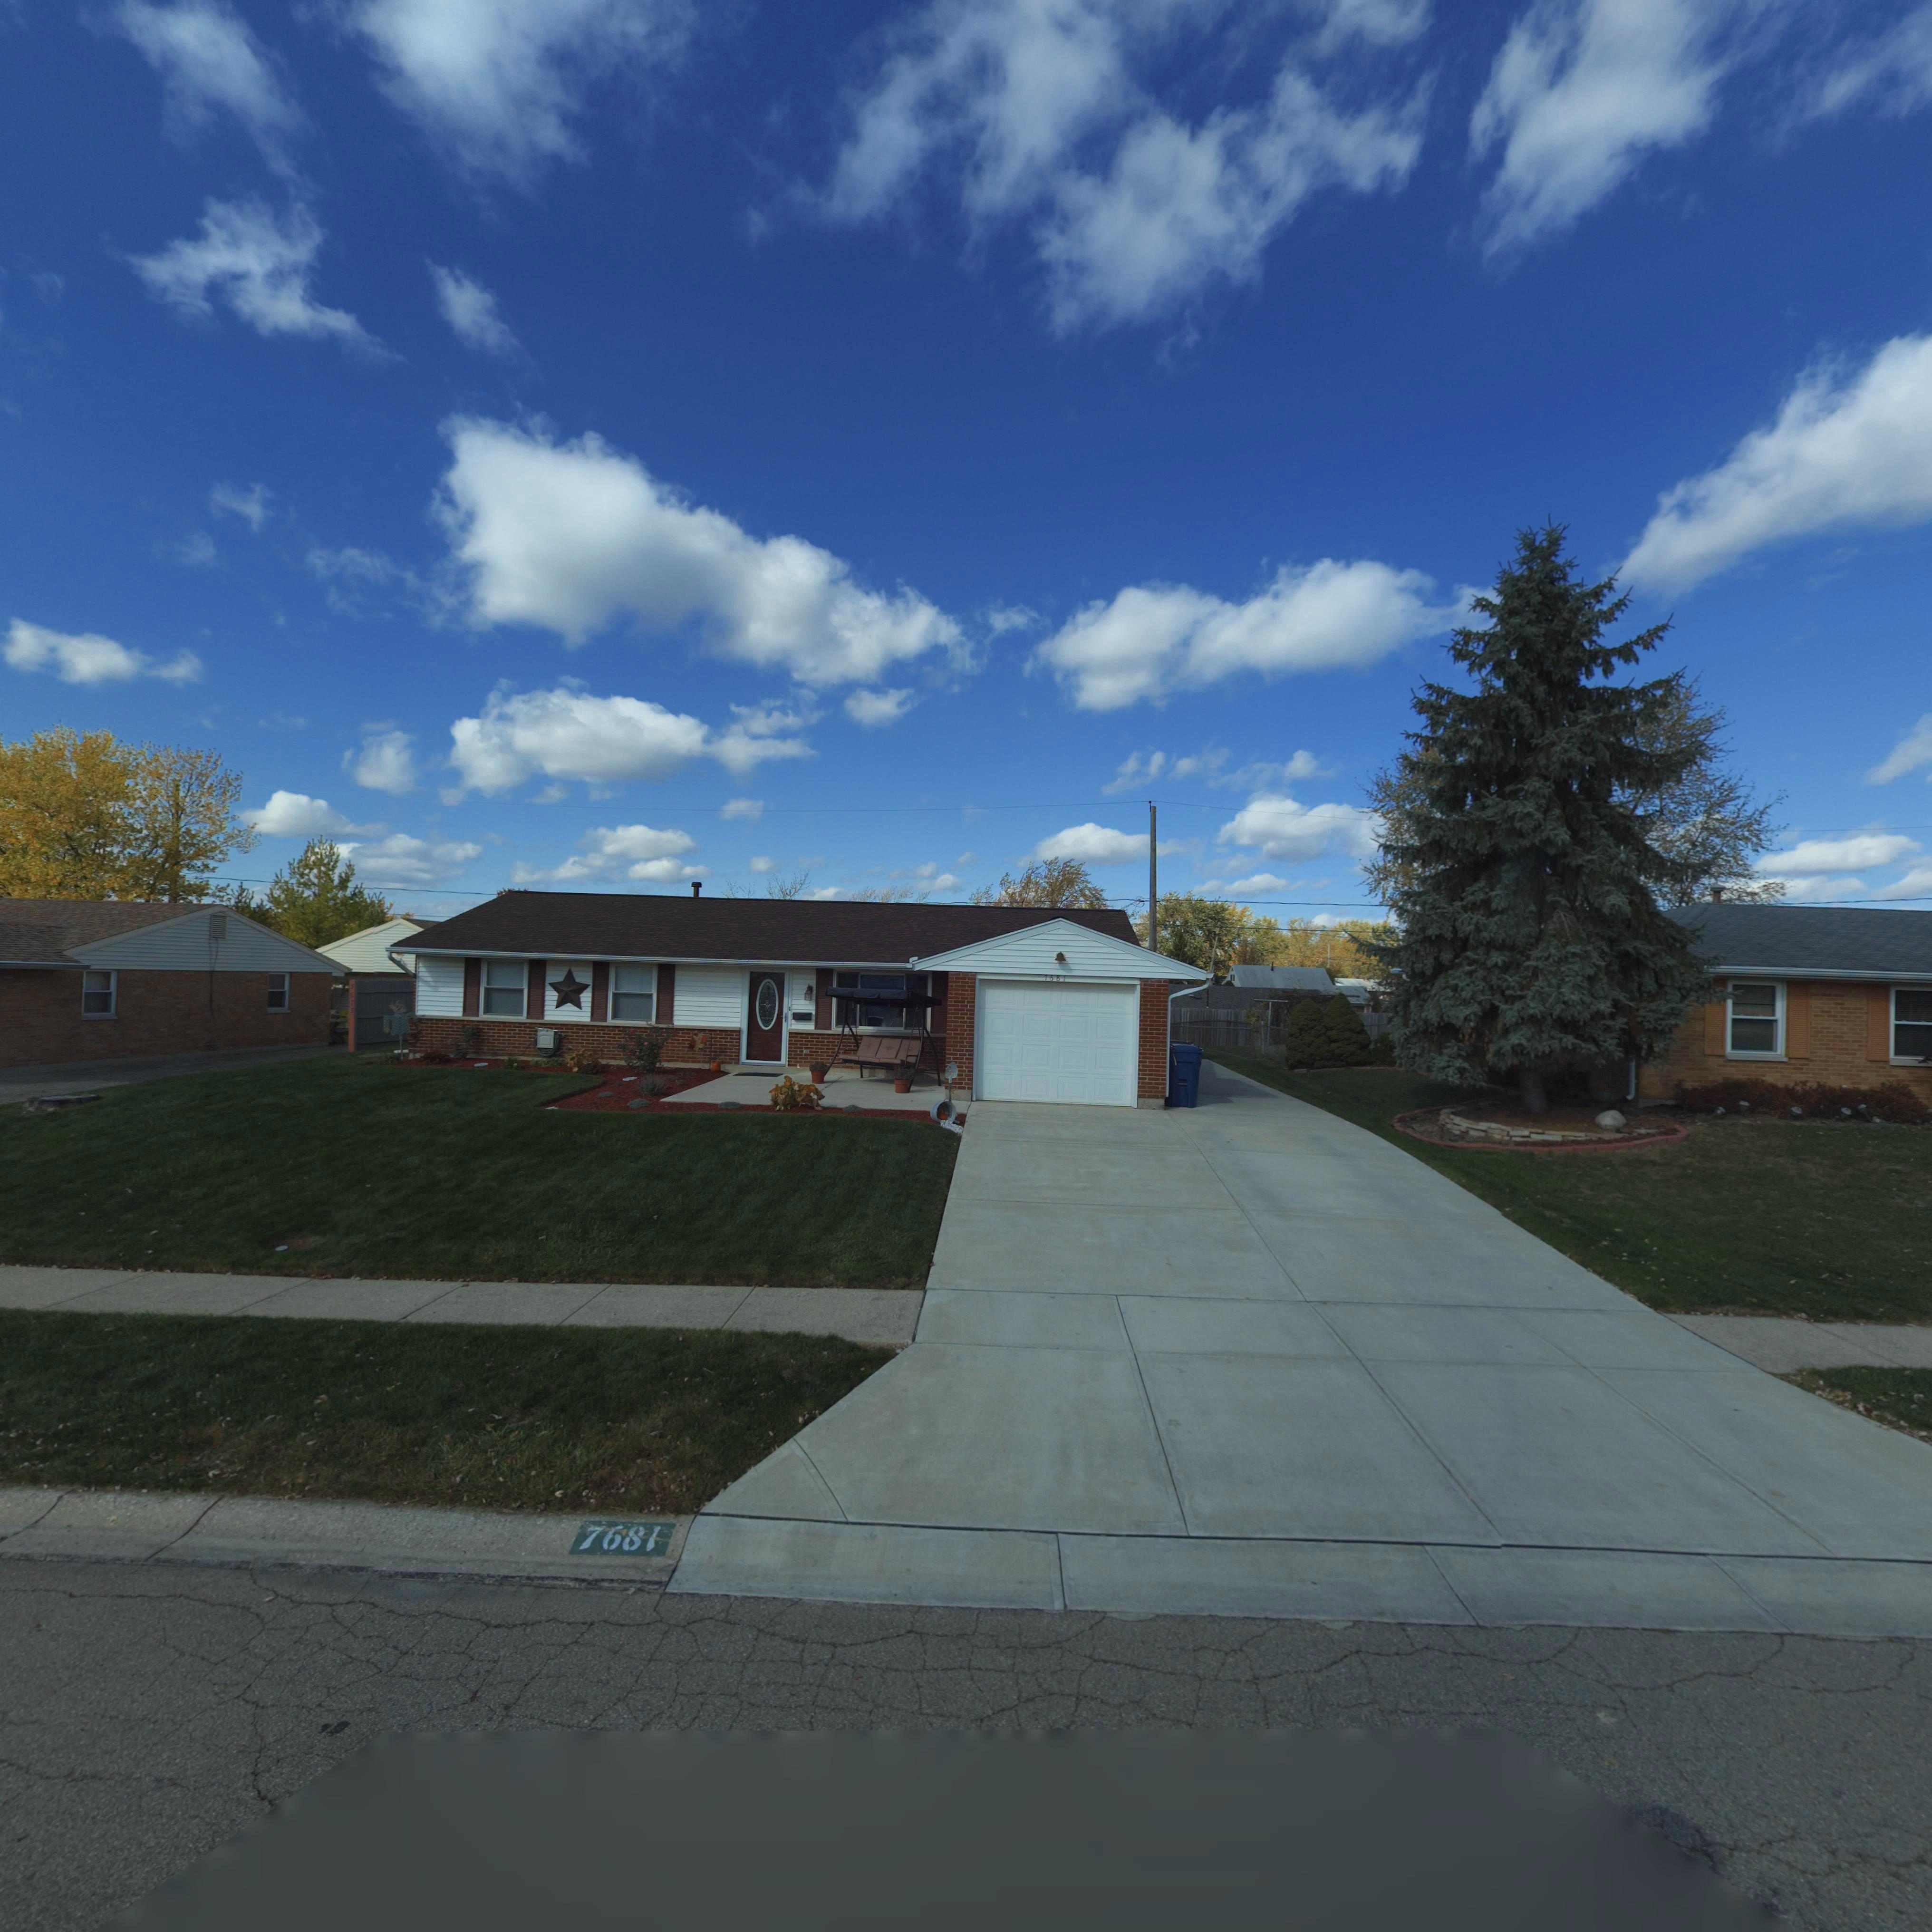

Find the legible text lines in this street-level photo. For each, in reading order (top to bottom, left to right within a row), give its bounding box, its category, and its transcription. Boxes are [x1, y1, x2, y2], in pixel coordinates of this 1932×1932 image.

[1044, 974, 1066, 982] StreetNumber: 7681
[578, 1524, 662, 1553] StreetNumber: 7681